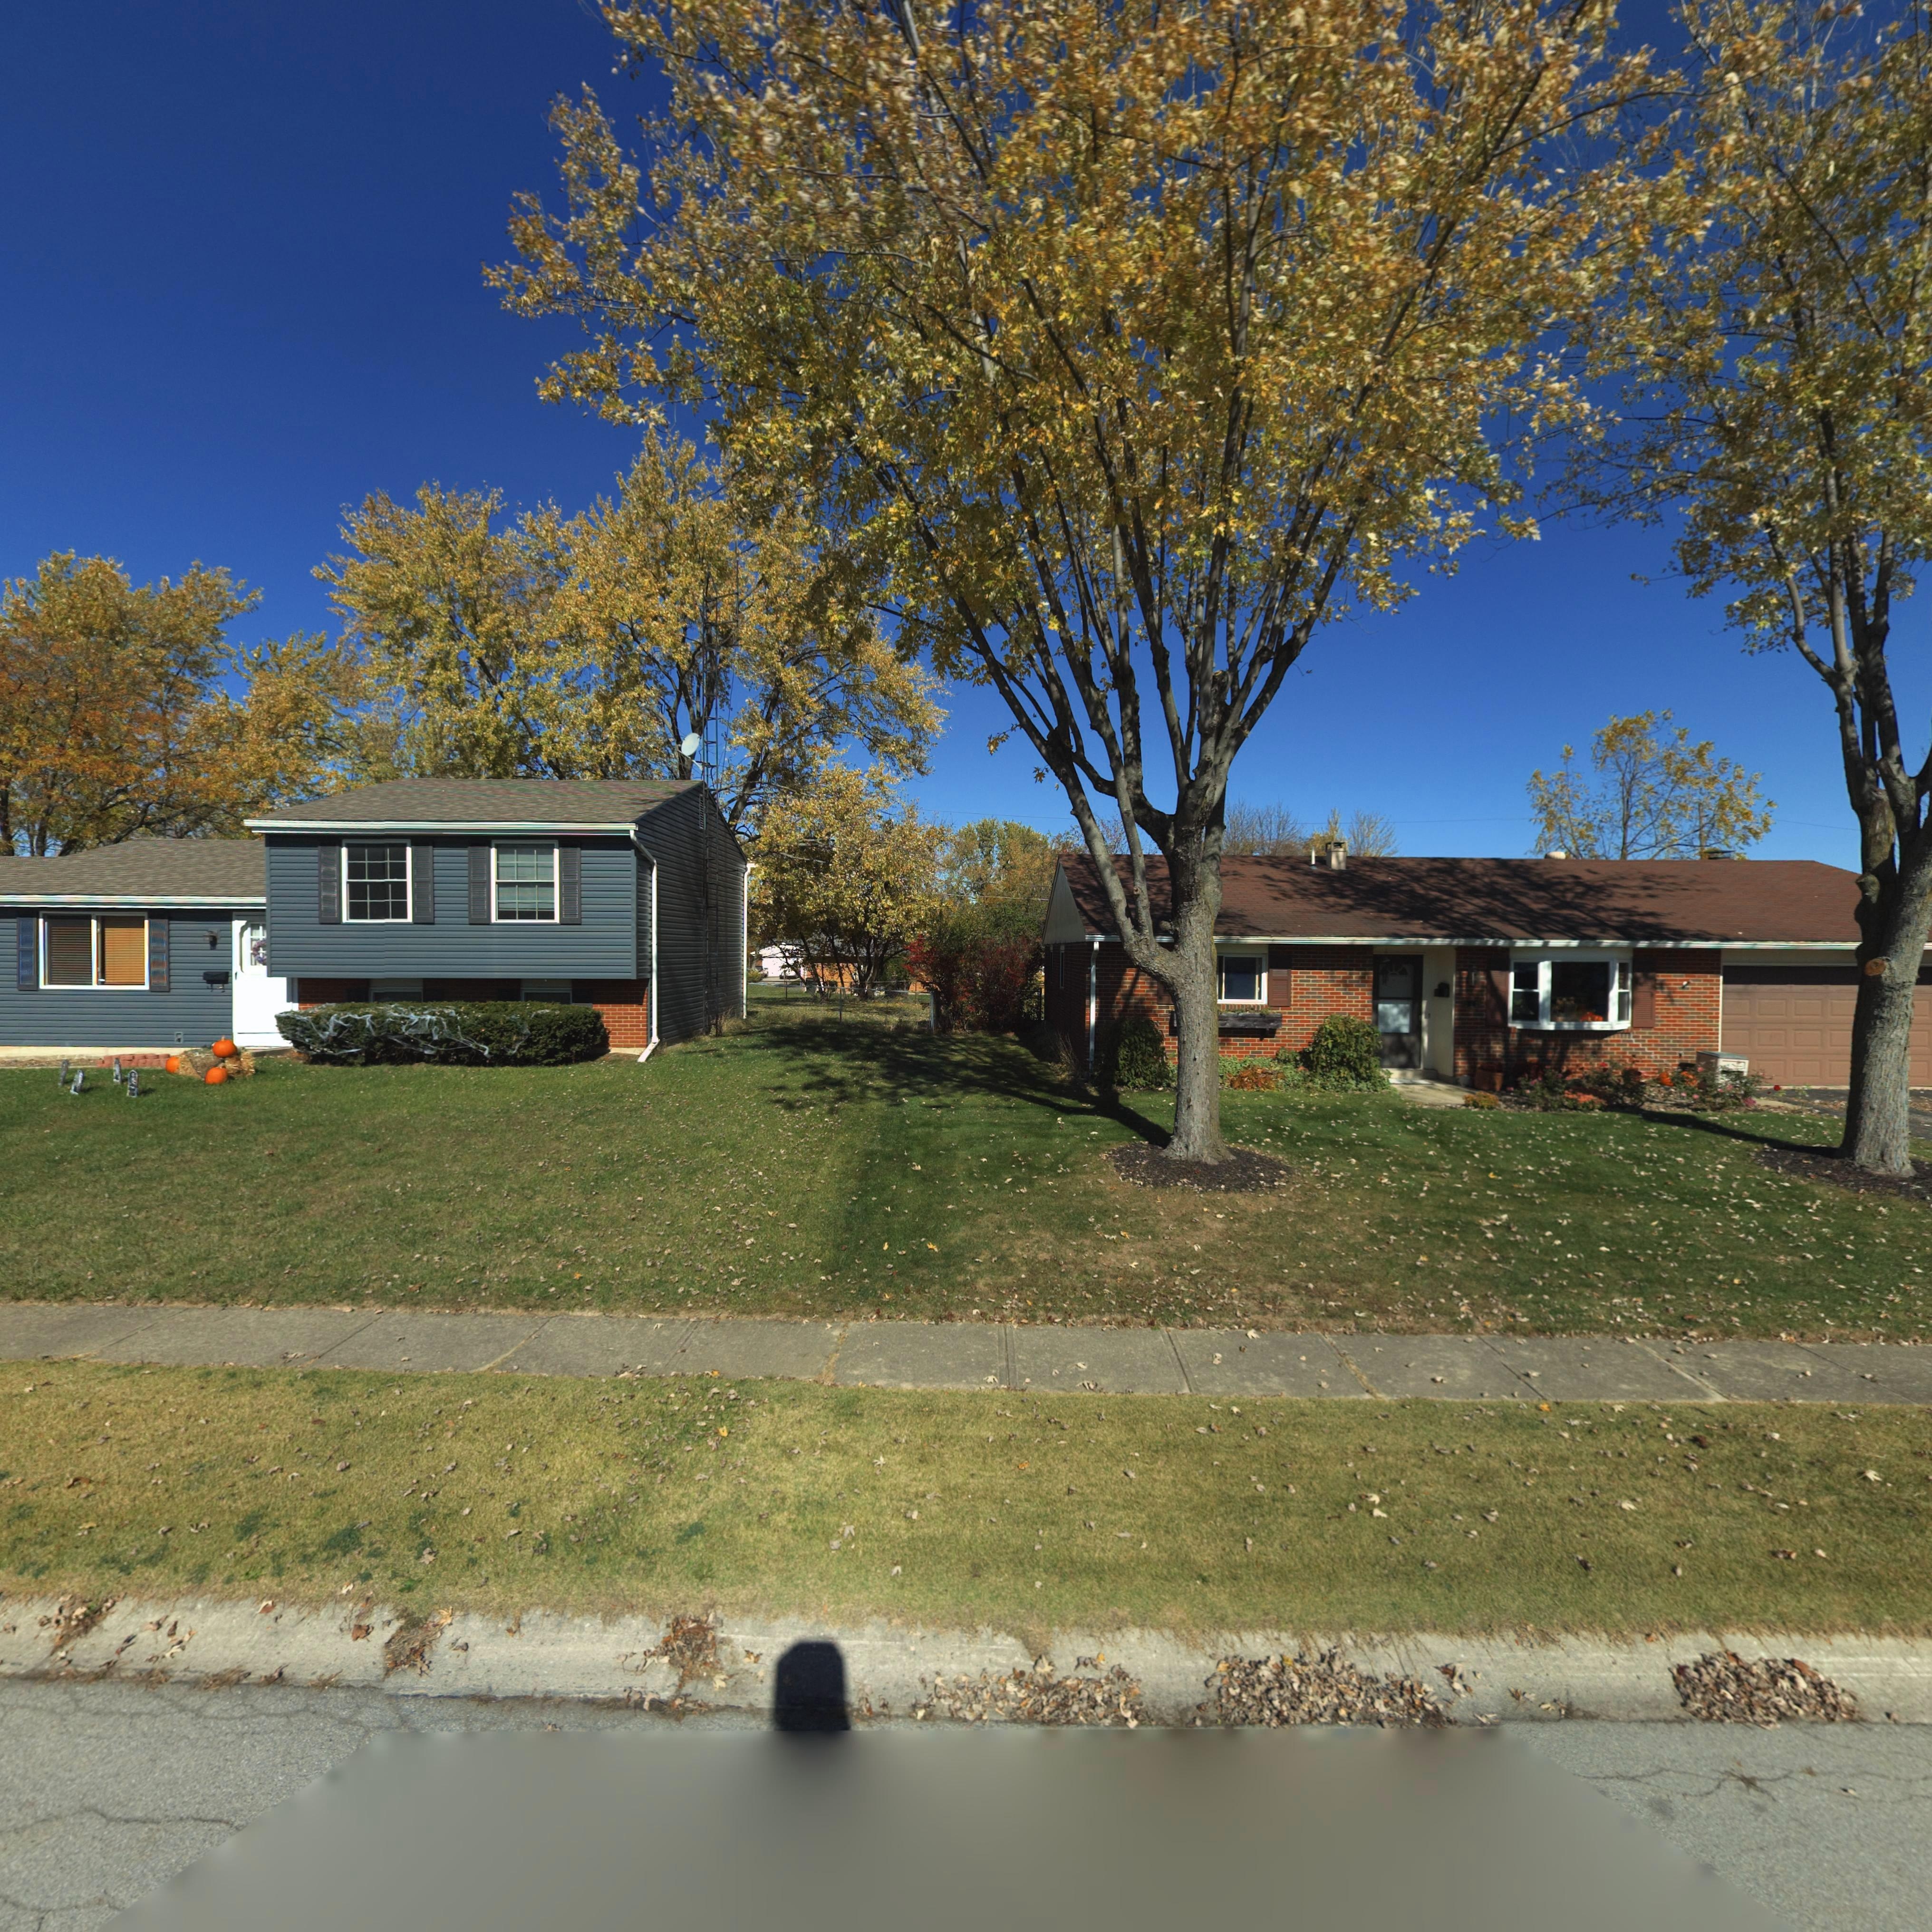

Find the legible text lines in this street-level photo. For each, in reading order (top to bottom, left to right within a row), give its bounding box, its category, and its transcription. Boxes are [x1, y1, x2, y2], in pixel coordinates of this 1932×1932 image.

[1463, 1001, 1480, 1007] StreetNumber: *1*